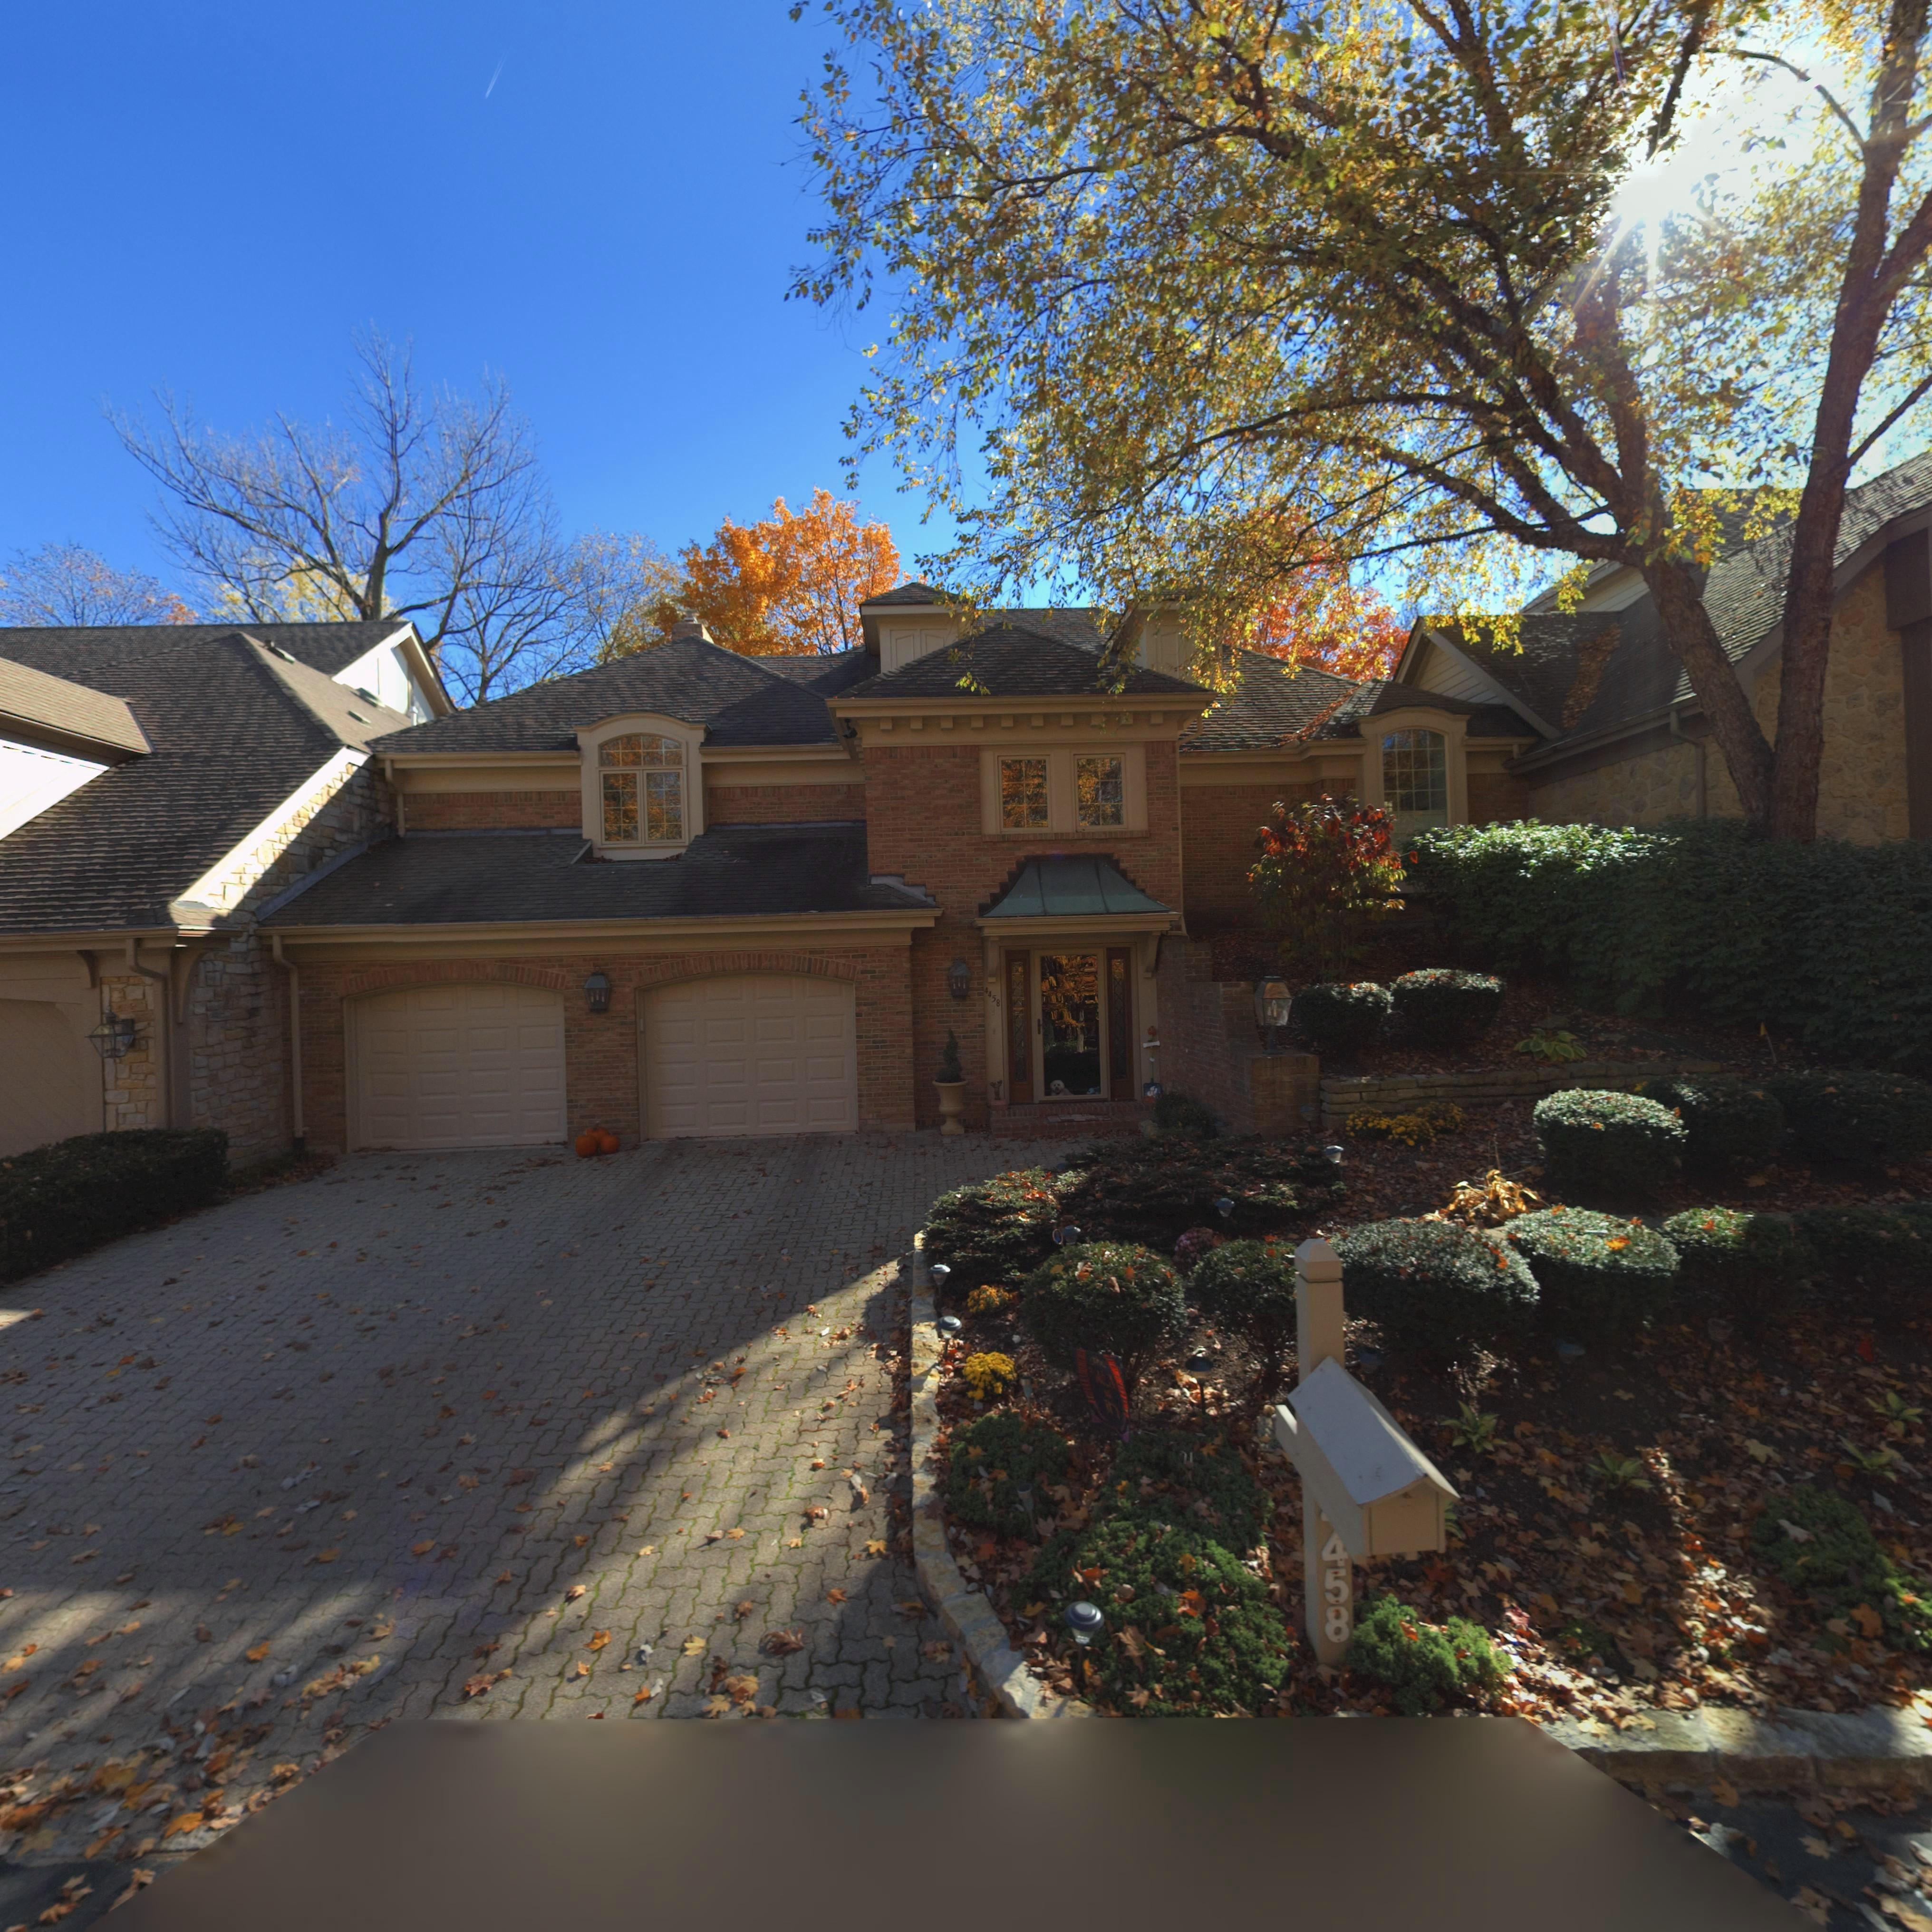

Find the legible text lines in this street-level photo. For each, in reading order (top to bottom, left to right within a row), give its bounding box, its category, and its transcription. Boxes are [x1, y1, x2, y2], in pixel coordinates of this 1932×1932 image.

[983, 985, 1001, 1008] StreetNumber: 4458
[1321, 1526, 1353, 1646] StreetNumber: 458